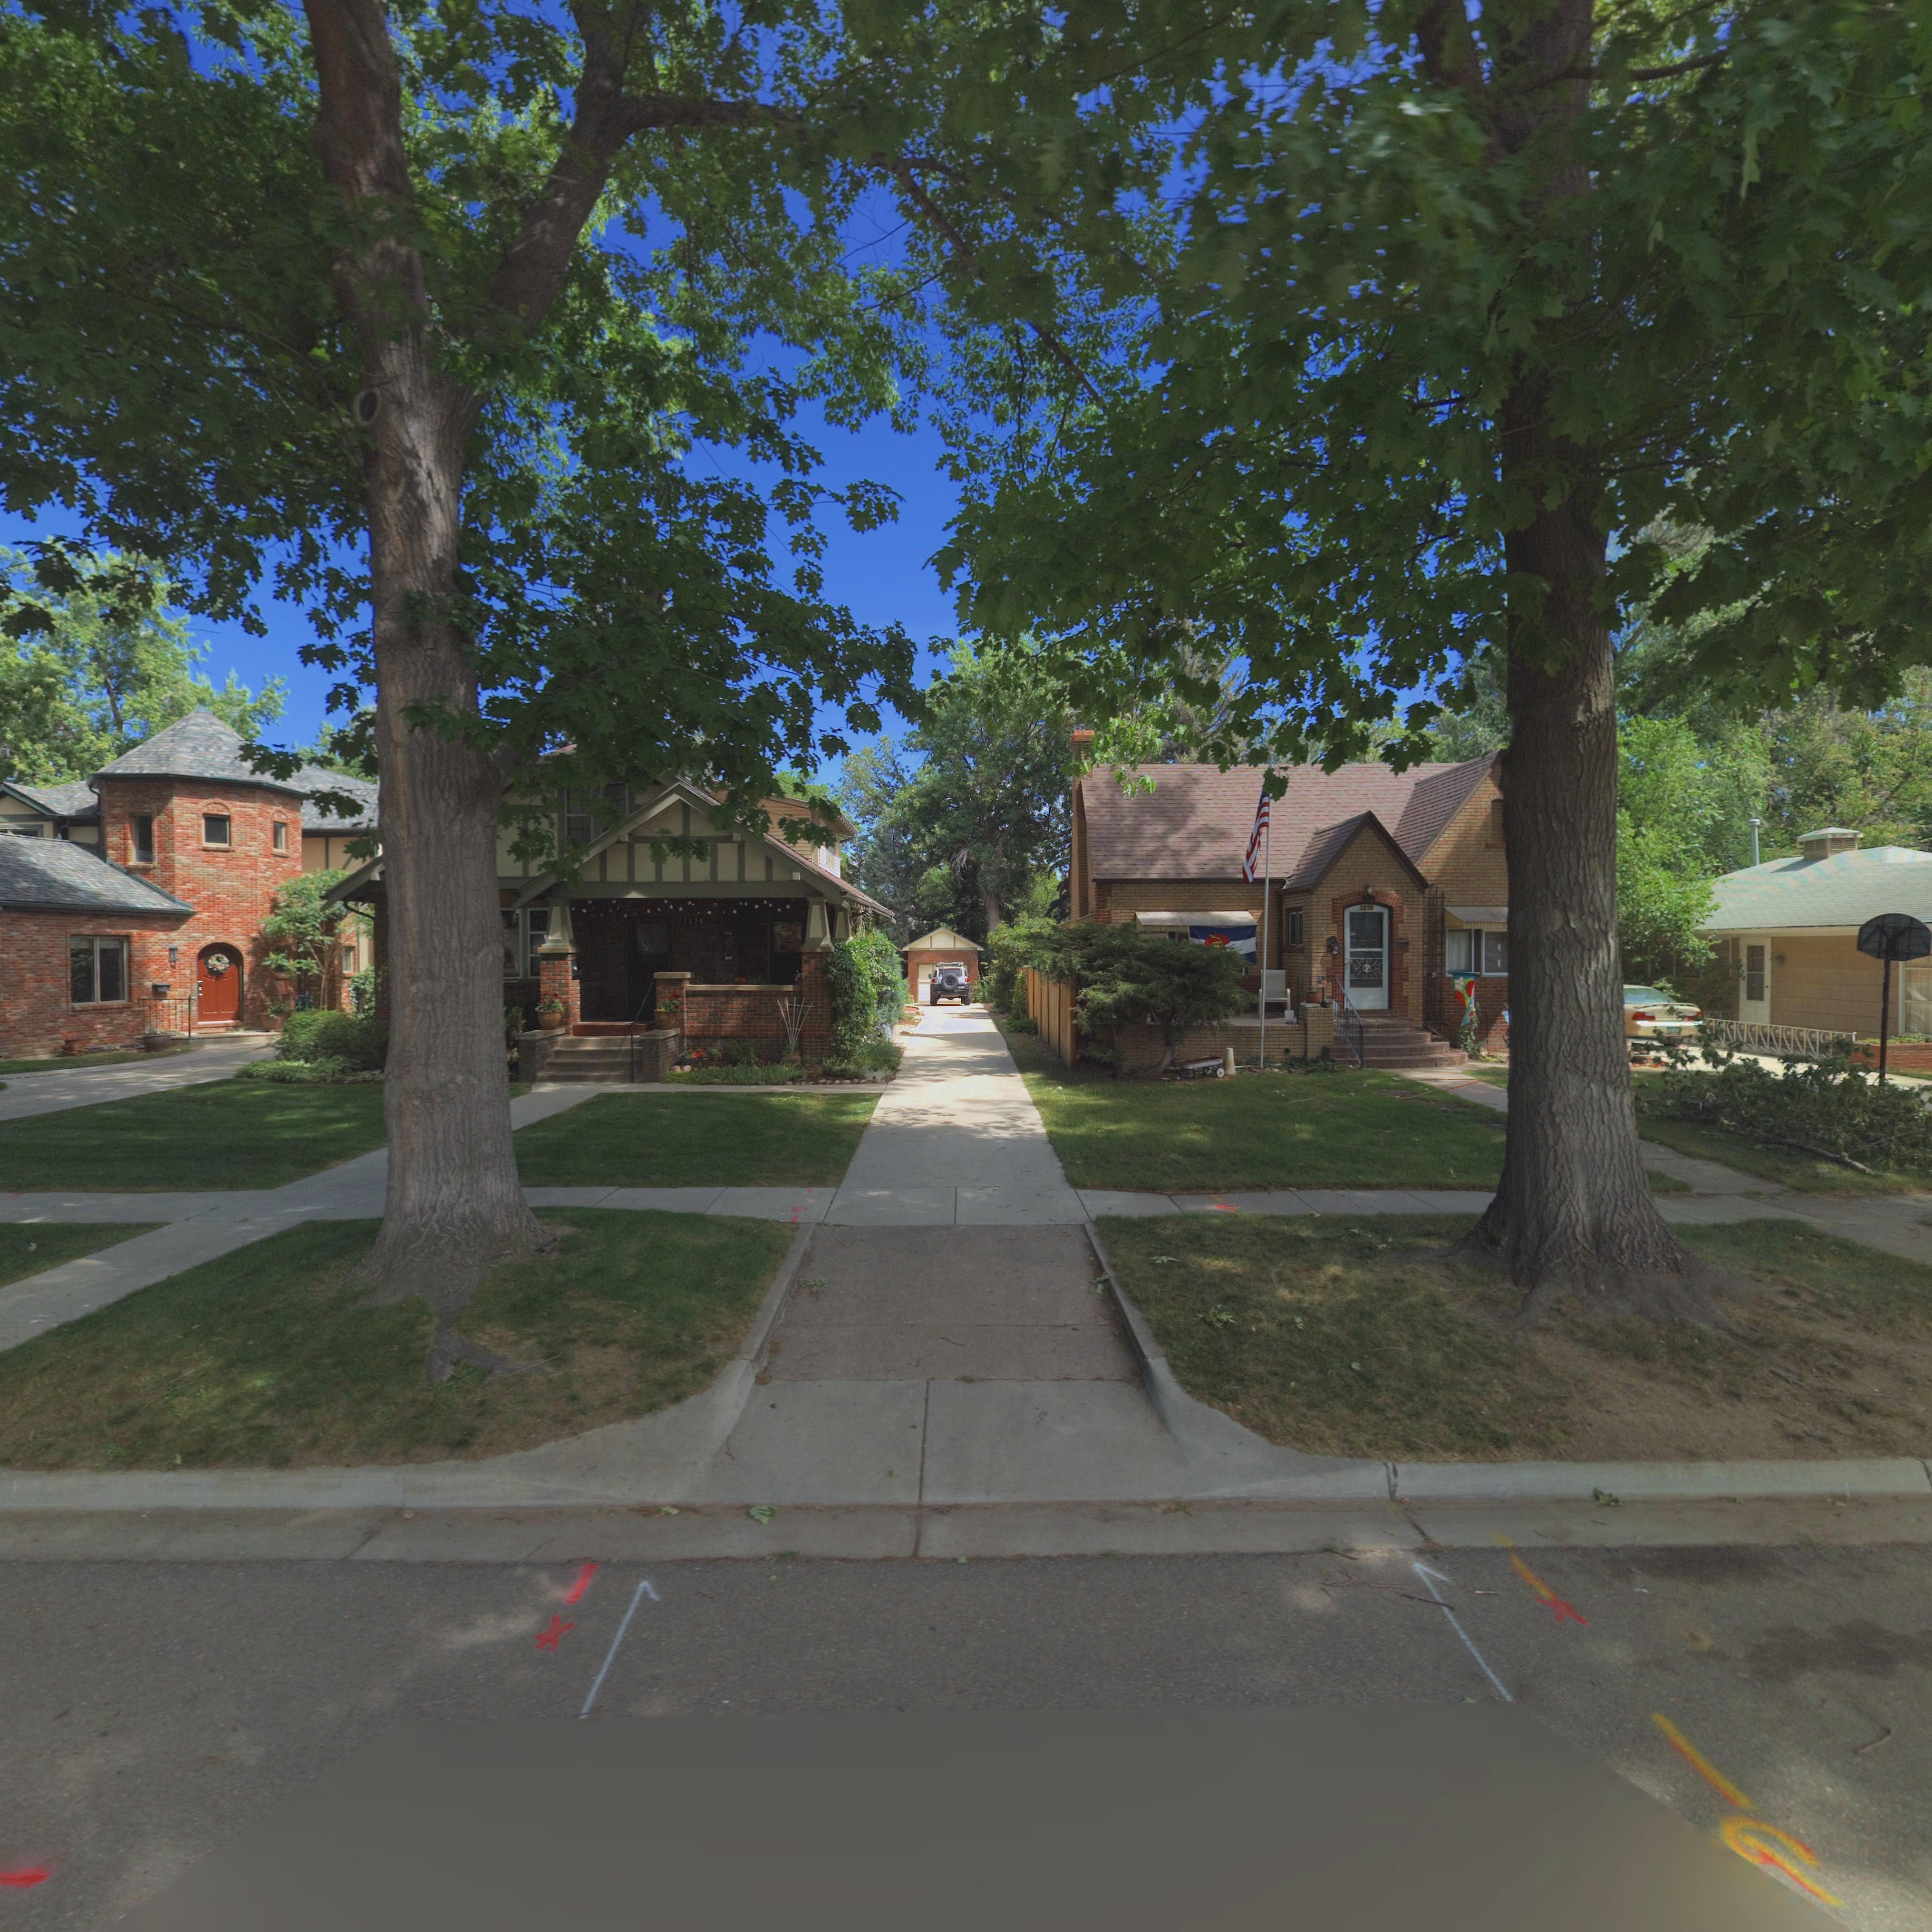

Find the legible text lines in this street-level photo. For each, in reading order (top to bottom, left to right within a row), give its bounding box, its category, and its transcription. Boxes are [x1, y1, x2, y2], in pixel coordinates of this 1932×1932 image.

[1360, 905, 1373, 910] StreetNumber: 1270
[684, 918, 703, 925] StreetNumber: 1276